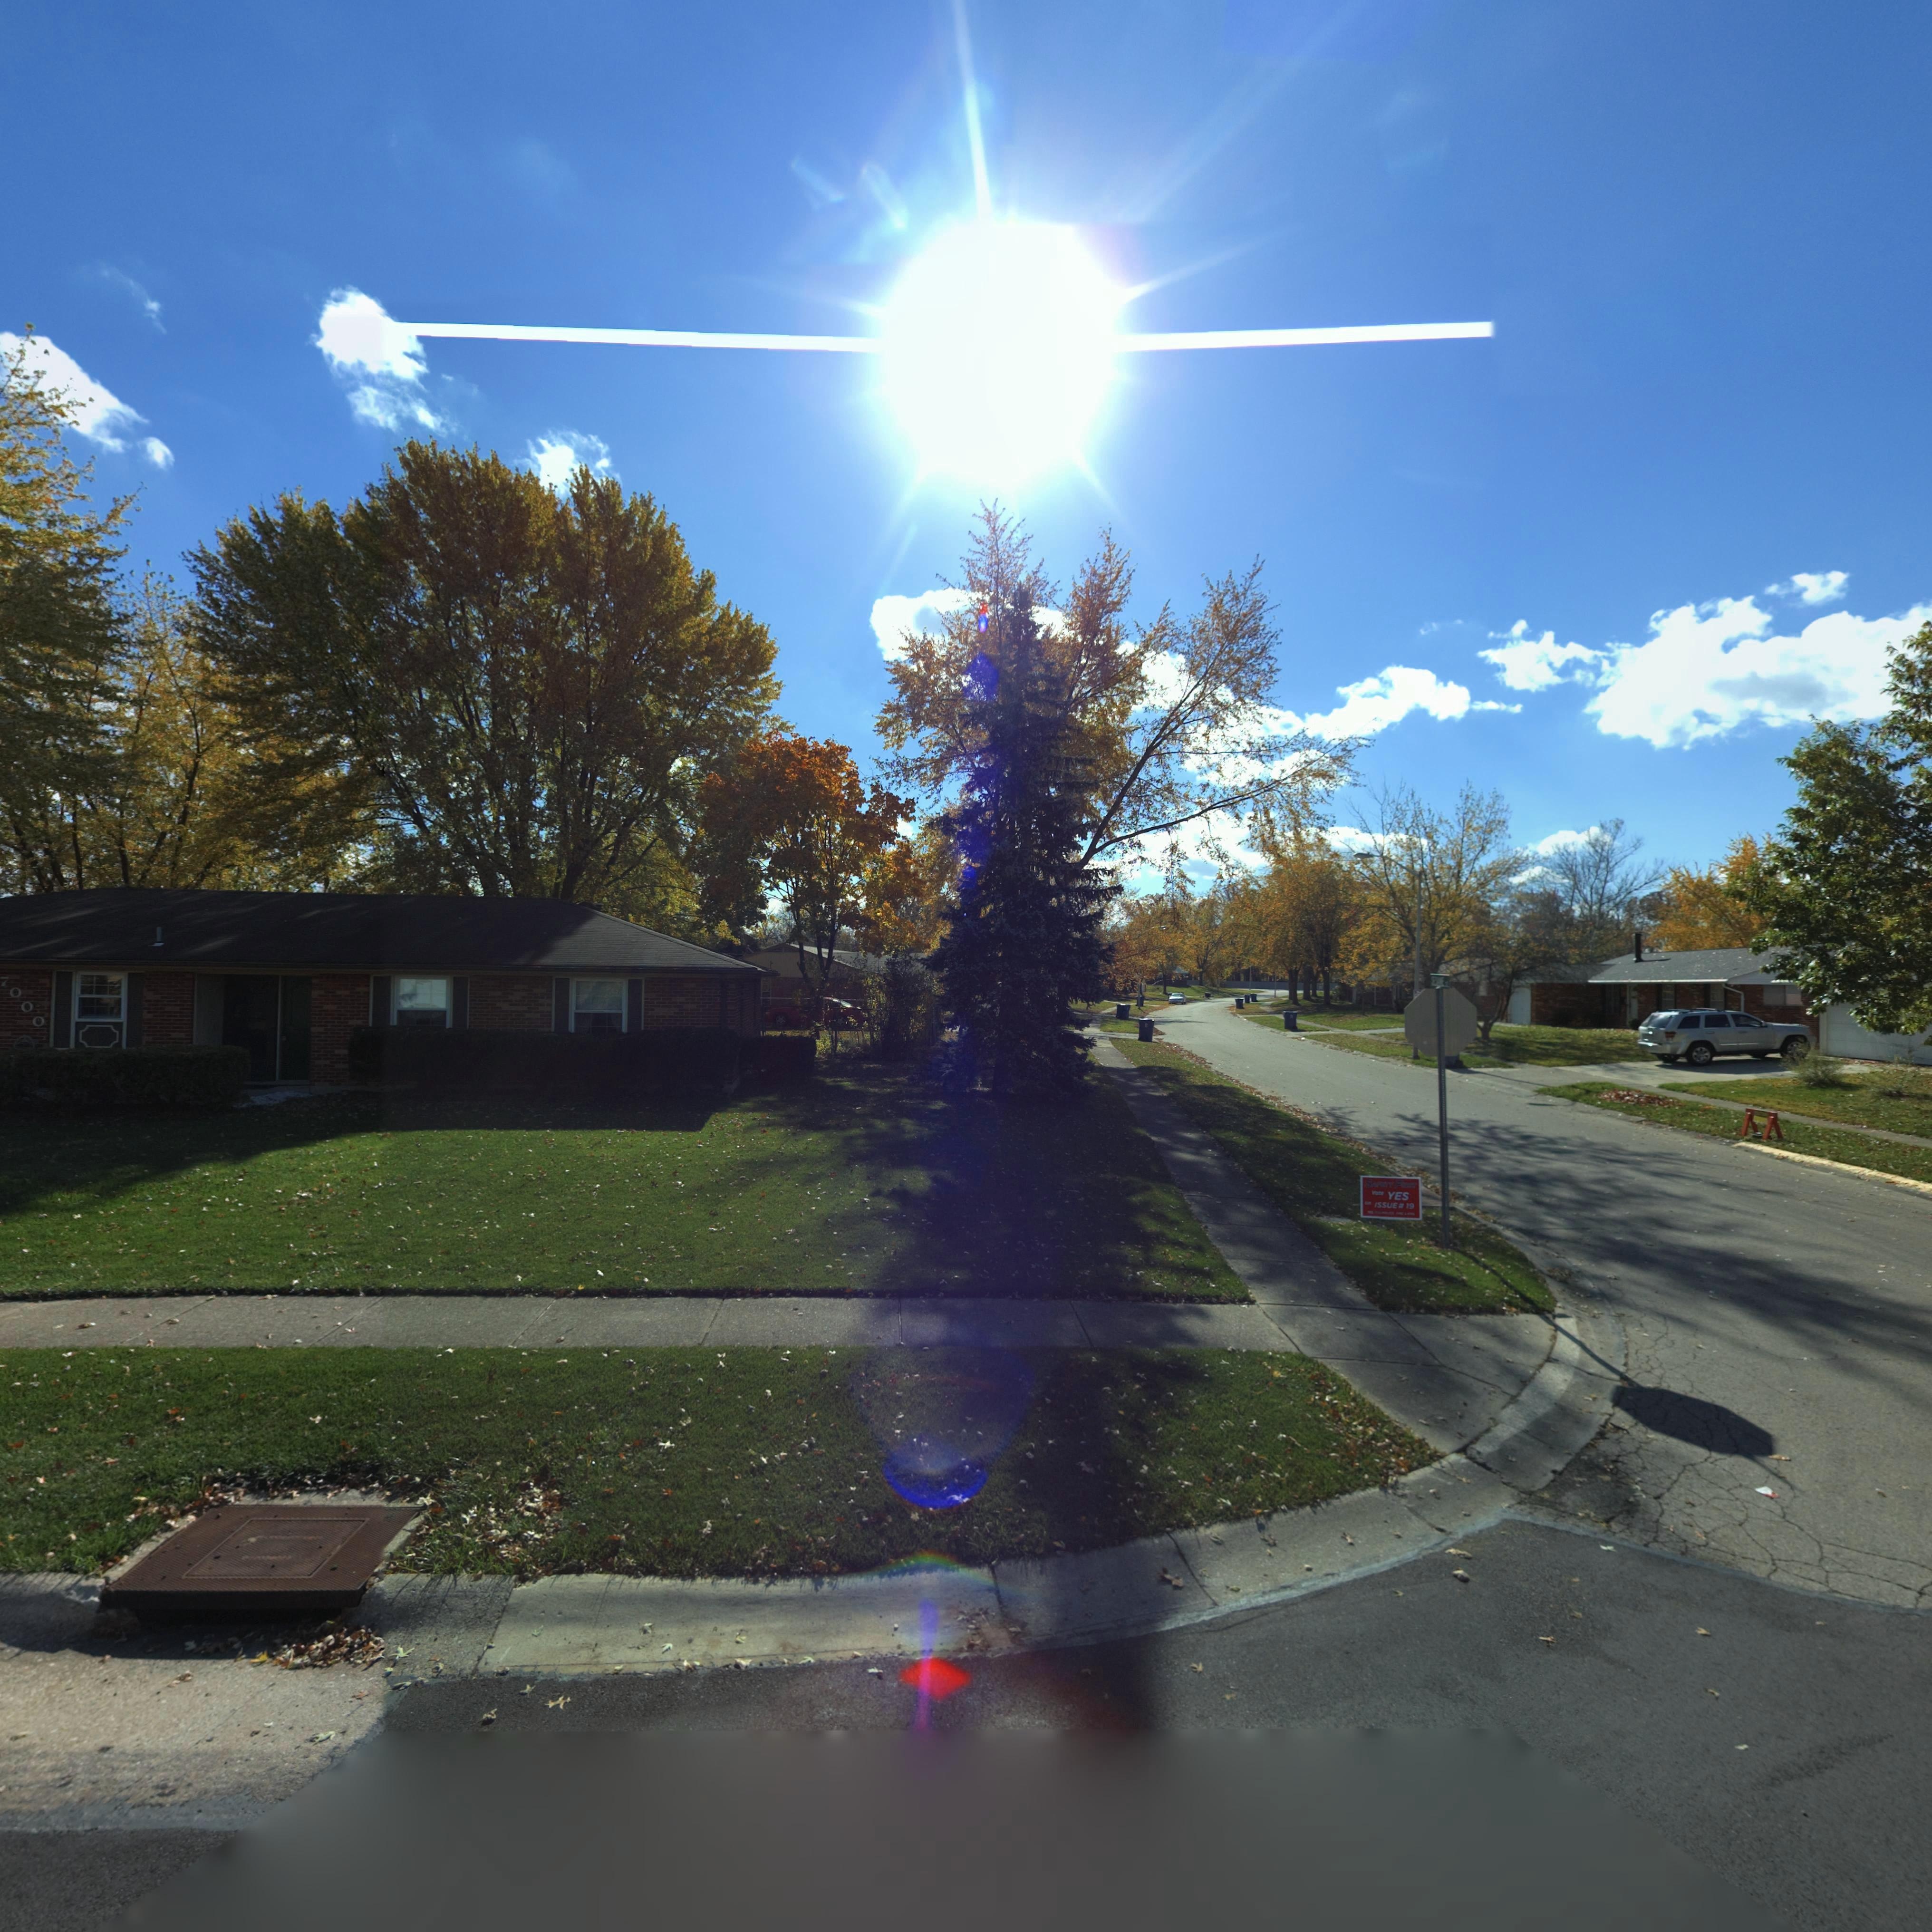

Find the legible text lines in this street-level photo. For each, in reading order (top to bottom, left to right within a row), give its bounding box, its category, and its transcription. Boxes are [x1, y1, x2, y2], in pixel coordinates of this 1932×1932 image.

[0, 975, 47, 1028] StreetNumber: 7000